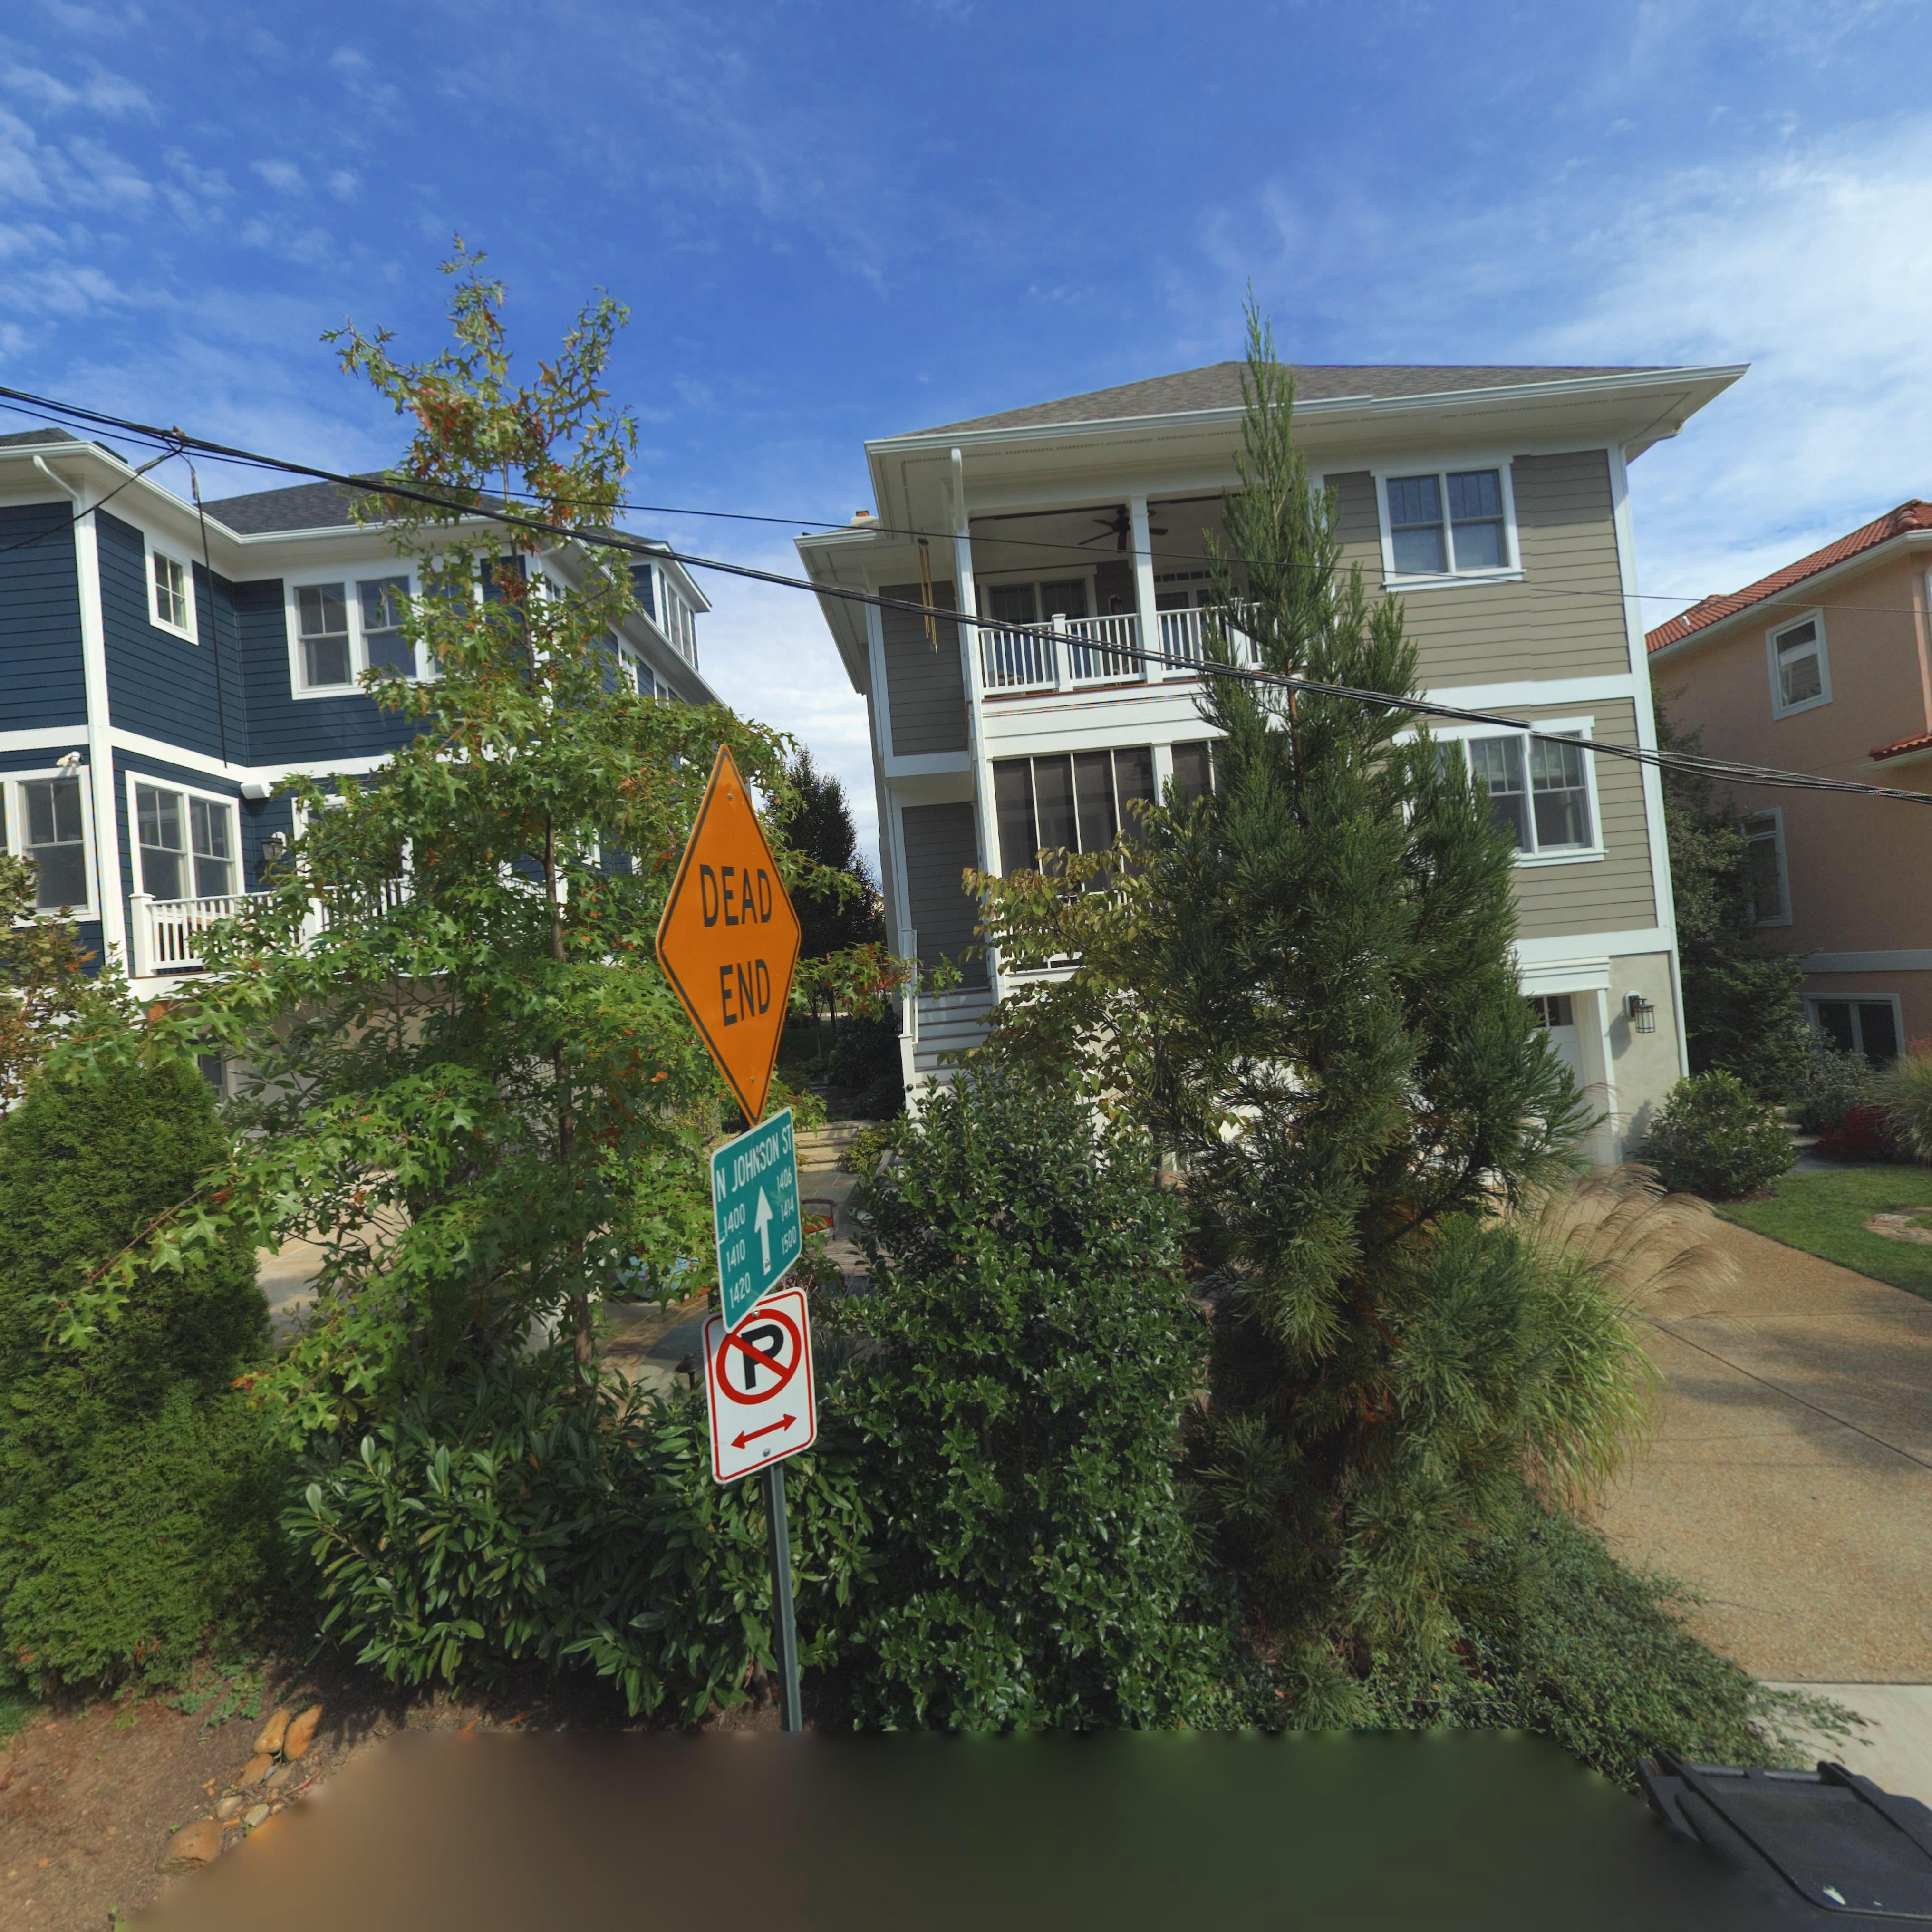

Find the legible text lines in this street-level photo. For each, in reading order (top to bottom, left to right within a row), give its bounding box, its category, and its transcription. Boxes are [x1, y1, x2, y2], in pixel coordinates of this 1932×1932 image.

[697, 860, 773, 931] None: DEAD
[717, 956, 773, 1031] None: END
[714, 1121, 793, 1206] StreetName: N JOH**ON ST
[774, 1164, 793, 1195] StreetNumber: 1406
[721, 1200, 748, 1240] StreetNumber: 1400
[724, 1236, 748, 1275] StreetNumber: 1410
[779, 1192, 796, 1224] StreetNumber: 1414
[780, 1223, 798, 1258] StreetNumber: 1500
[727, 1269, 752, 1312] StreetNumber: 1420